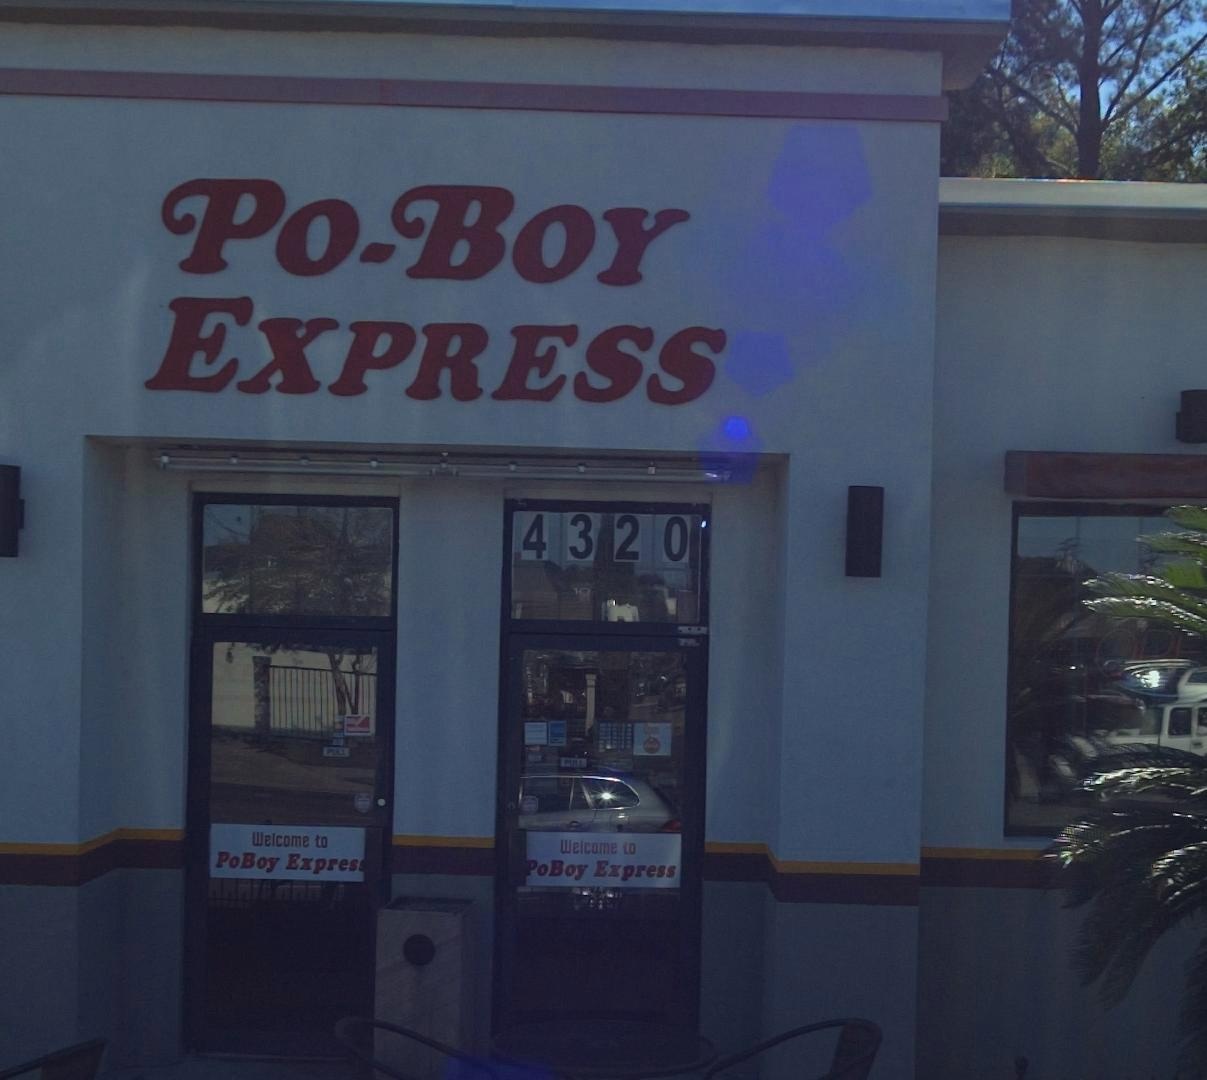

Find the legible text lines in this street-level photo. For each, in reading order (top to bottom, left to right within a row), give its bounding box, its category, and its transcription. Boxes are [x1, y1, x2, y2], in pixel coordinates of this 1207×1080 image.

[171, 173, 699, 290] BusinessName: Po-Boy
[139, 290, 734, 410] BusinessName: EXPRESS
[519, 511, 692, 563] StreetNumber: 4320
[324, 746, 348, 758] None: PULL
[250, 829, 331, 851] None: Welcome to
[558, 836, 637, 857] None: Welcome to
[213, 848, 361, 878] BusinessName: PoBoy Expres
[523, 855, 679, 885] BusinessName: PoBoy Express